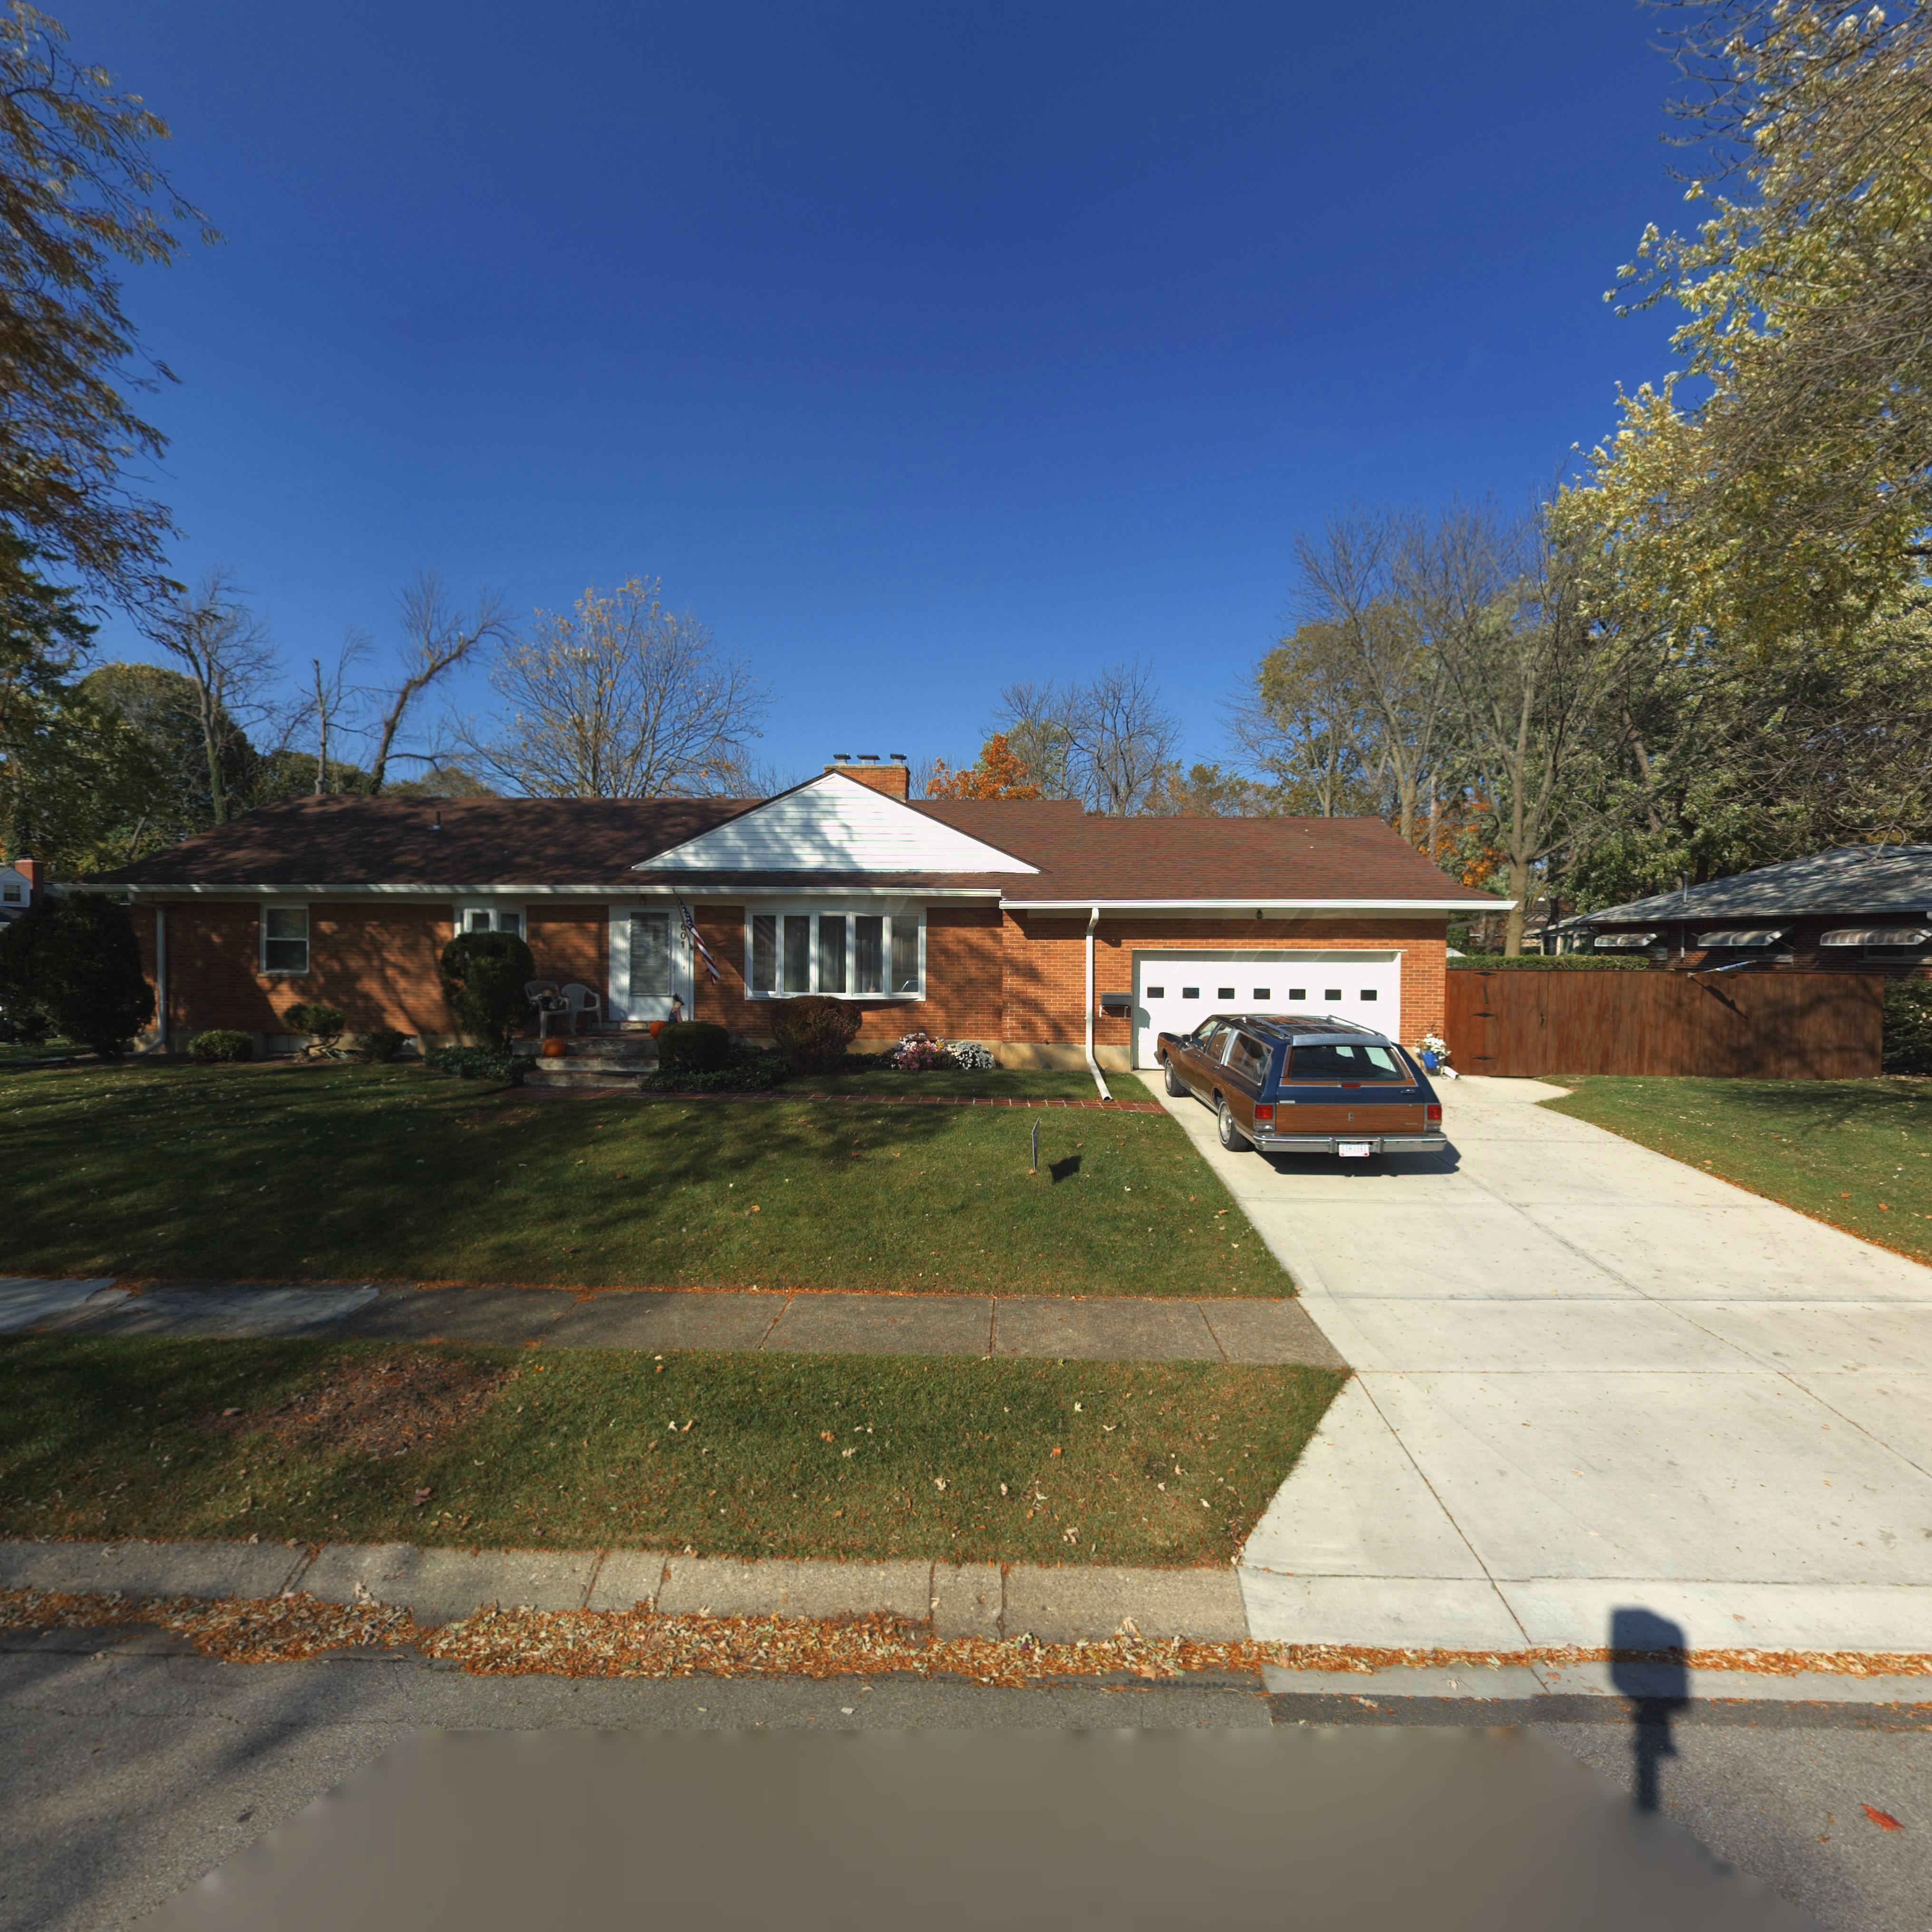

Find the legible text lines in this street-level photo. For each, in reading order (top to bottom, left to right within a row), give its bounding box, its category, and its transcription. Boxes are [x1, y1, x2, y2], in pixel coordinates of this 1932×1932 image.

[680, 923, 686, 948] StreetNumber: *01
[1341, 1144, 1367, 1153] None: G*H*1161